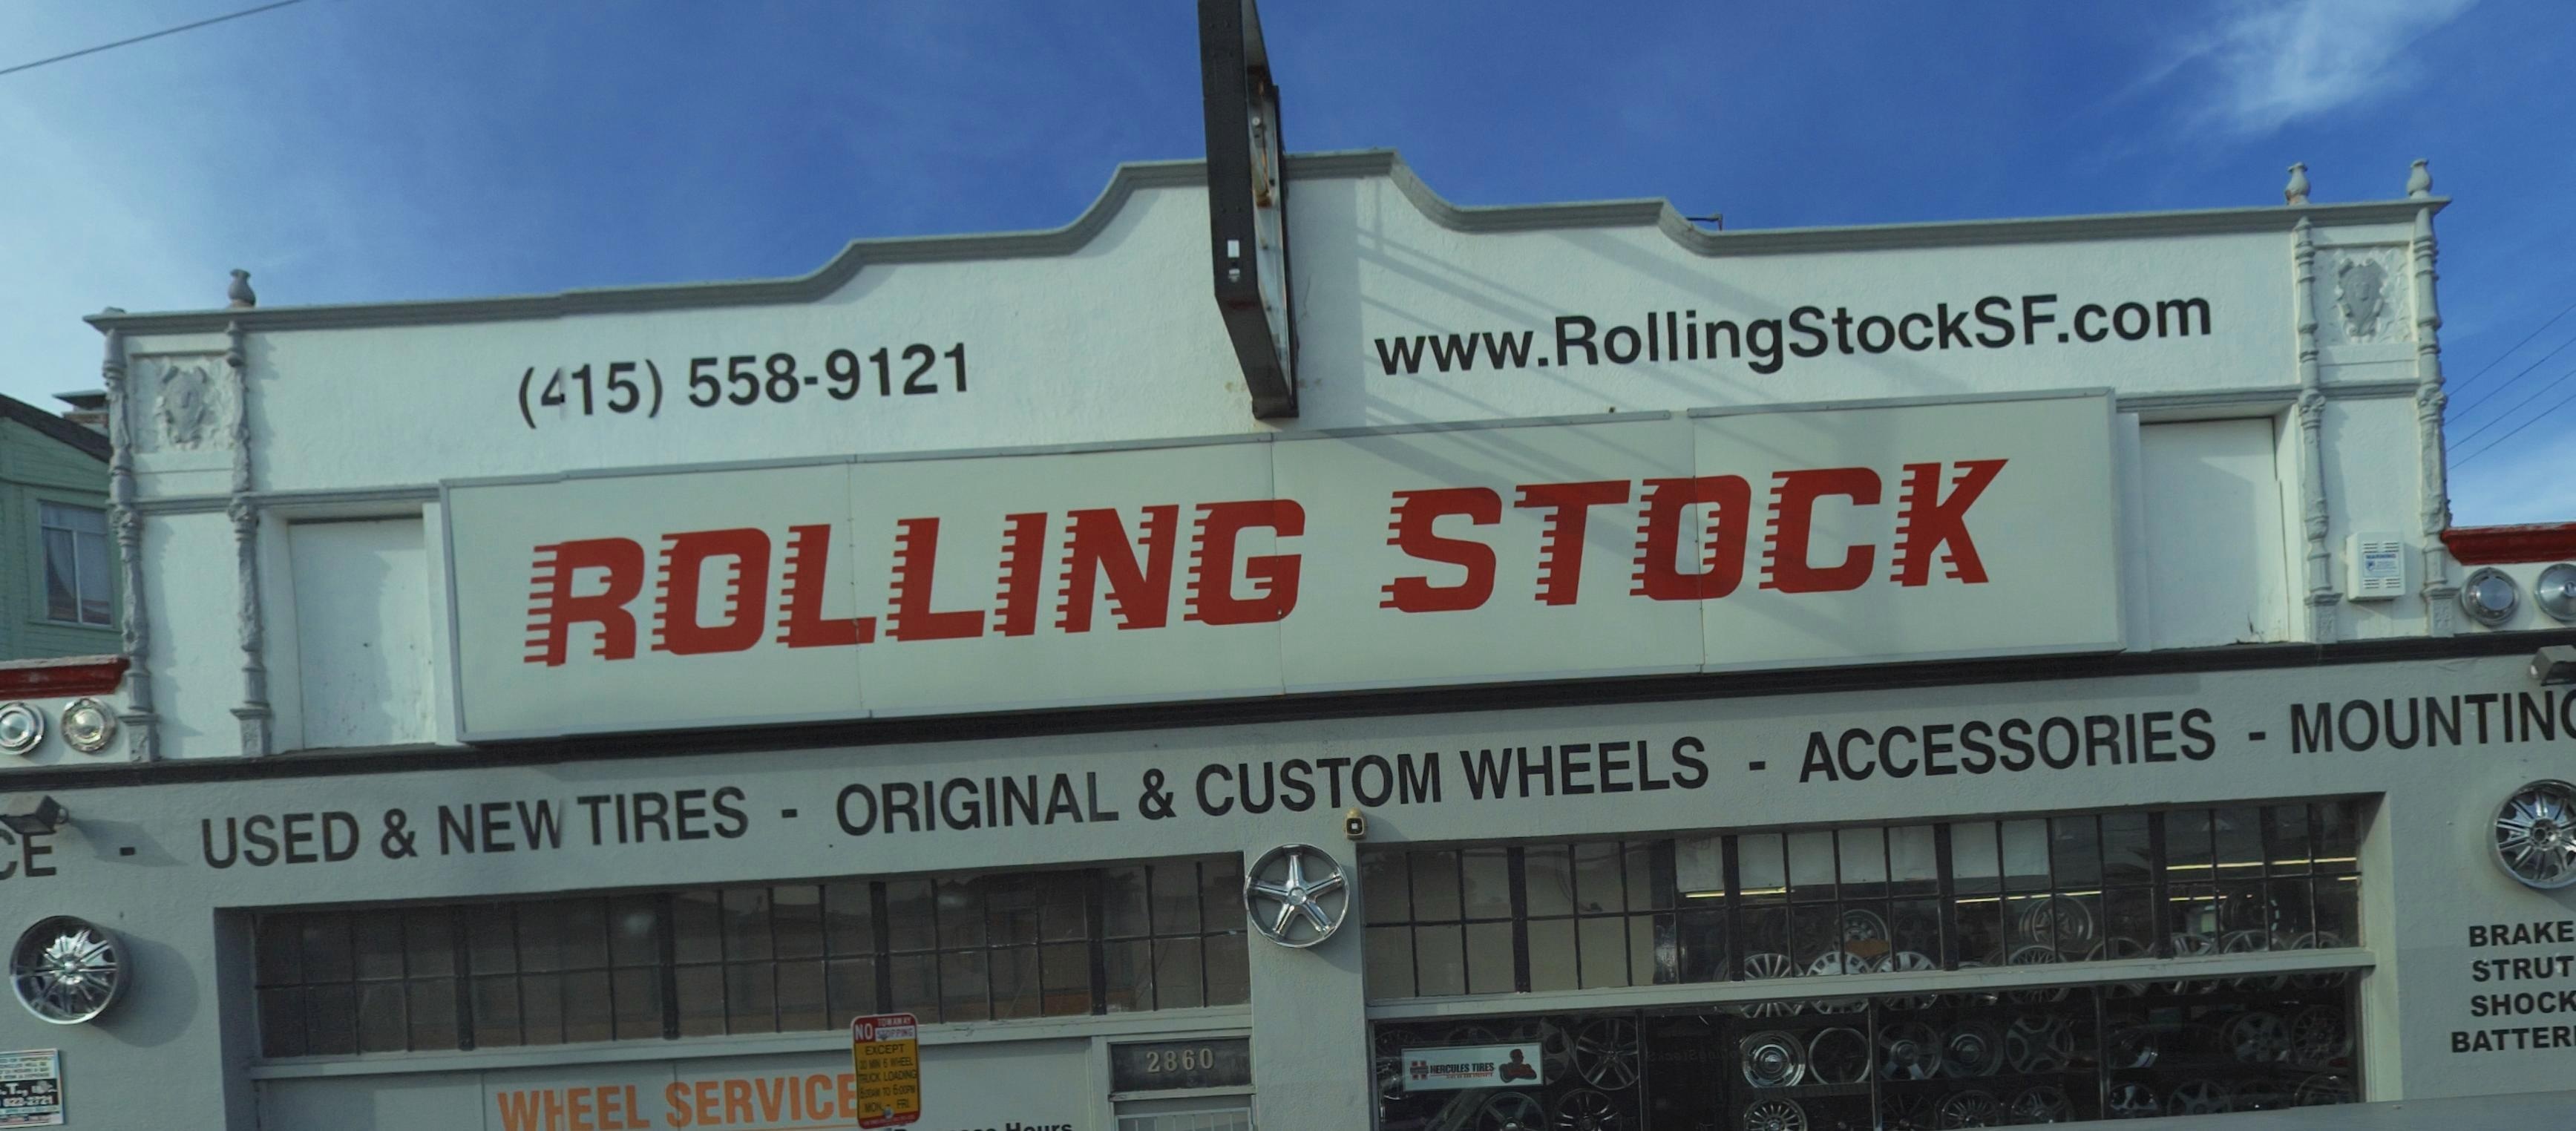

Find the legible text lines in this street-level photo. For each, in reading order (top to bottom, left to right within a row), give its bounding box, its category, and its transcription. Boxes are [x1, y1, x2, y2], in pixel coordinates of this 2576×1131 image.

[1360, 278, 2221, 384] None: www.RollingStockSF.com
[532, 332, 979, 430] None: 415) 558-9121
[513, 445, 2025, 681] BusinessName: ROLLING STOCK
[186, 679, 2567, 882] None: USED & NEW TIRES - ORIGINAL & CUSTOM WHEELS - ACCESSORIES - MOUNTIN
[2465, 917, 2575, 951] None: BRAKE
[2468, 953, 2575, 985] None: STRUT
[2466, 987, 2563, 1020] None: SHOC
[1, 1081, 22, 1098] None: T
[1, 1092, 56, 1109] None: 822-2*21
[593, 1080, 653, 1130] None: EL
[660, 1068, 843, 1130] None: SERVIC
[852, 1020, 917, 1044] None: NO STOPPING
[862, 1041, 908, 1058] None: EXCEPT
[856, 1053, 916, 1072] None: 20 MIN 6 WHEEL
[856, 1079, 920, 1102] None: 8:00AM TO 6:00PM
[856, 1066, 920, 1086] None: TRUCK LOADING
[862, 1095, 914, 1115] None: MON - FRI
[875, 1013, 915, 1028] None: TOW AWAY
[1142, 1045, 1216, 1075] StreetNumber: 2860
[1429, 1060, 1497, 1075] None: HERCULES TIRES
[2447, 1022, 2575, 1058] None: BATTER